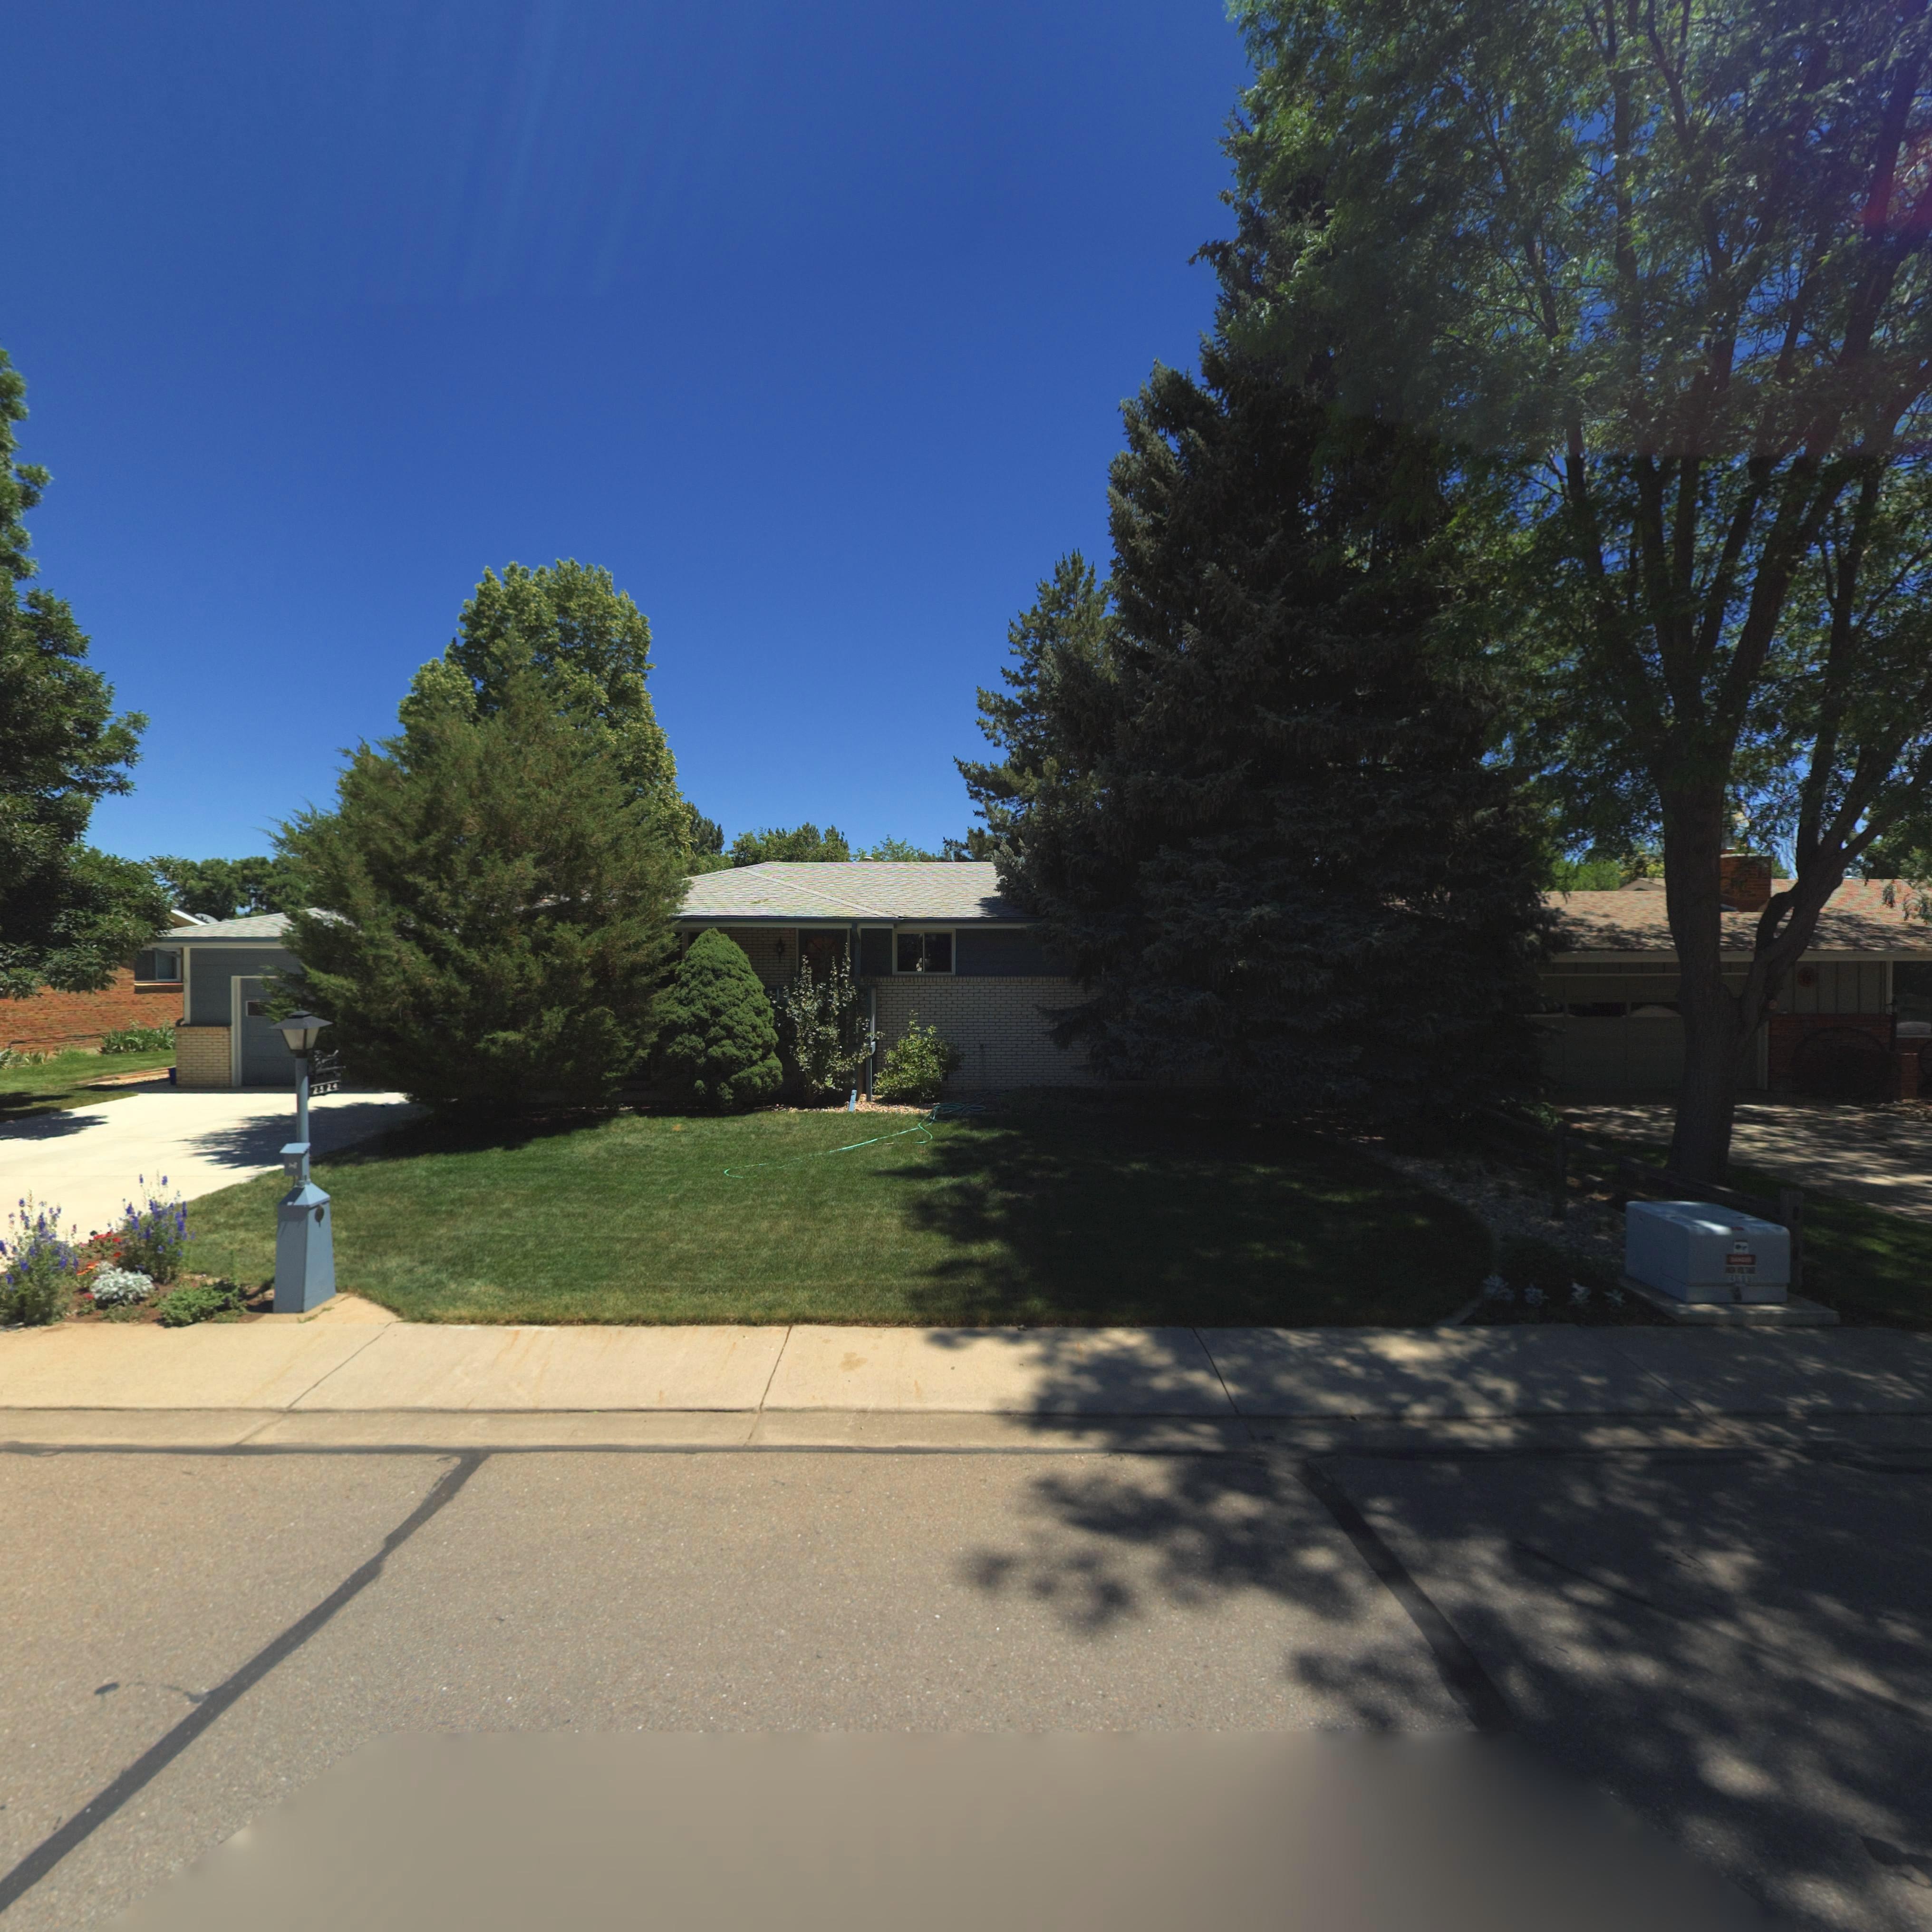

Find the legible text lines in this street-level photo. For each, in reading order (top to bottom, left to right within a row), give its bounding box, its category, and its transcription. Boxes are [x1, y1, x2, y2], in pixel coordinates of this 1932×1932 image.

[312, 1082, 338, 1095] StreetNumber: 2429